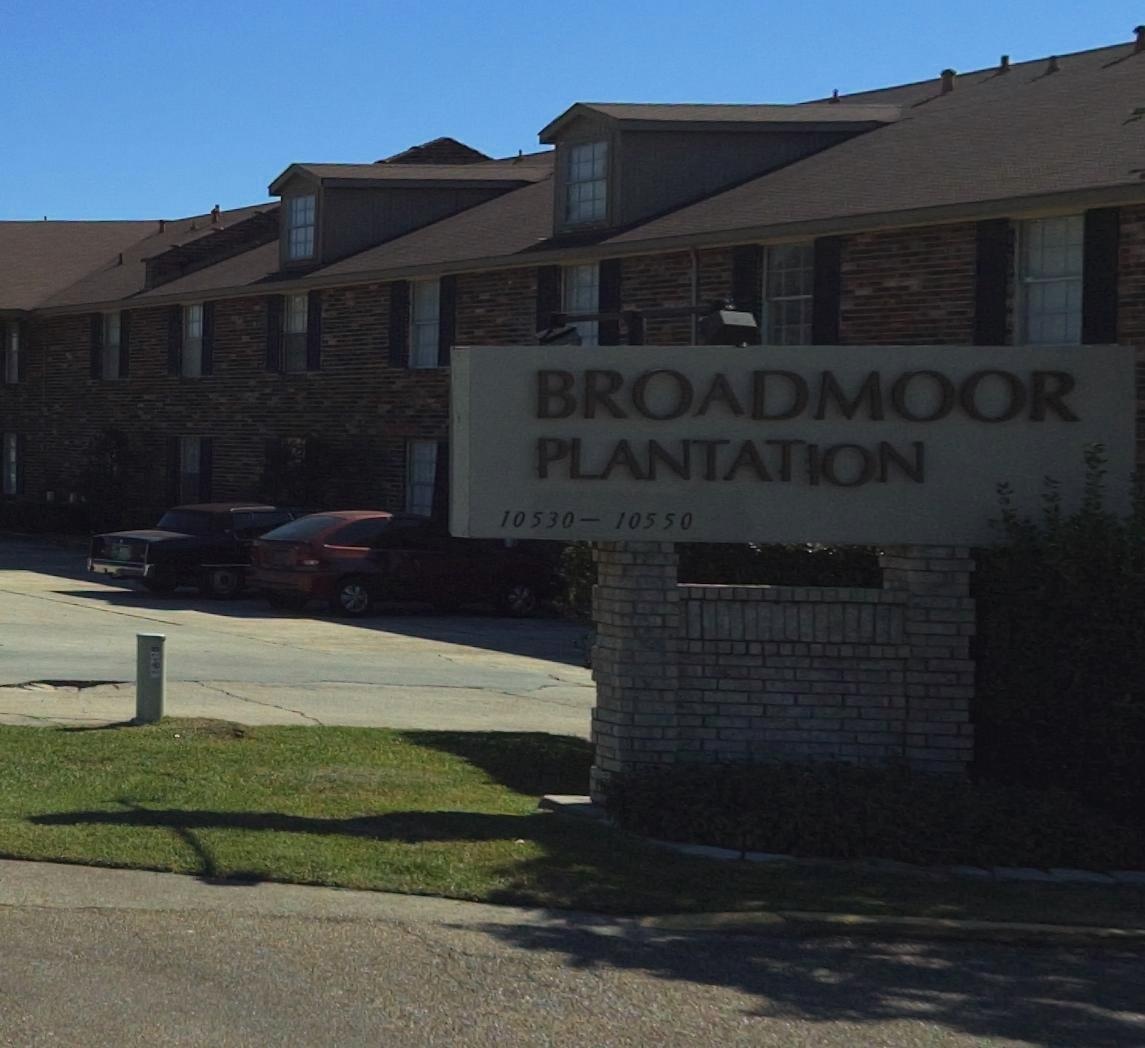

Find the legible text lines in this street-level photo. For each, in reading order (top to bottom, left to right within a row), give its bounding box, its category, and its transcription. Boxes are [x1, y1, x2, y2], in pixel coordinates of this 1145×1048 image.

[533, 365, 1086, 425] None: BROADMOOR
[533, 435, 927, 489] None: PLANTATION
[497, 509, 577, 530] StreetNumber: 10530
[612, 510, 694, 532] StreetNumber: 10550